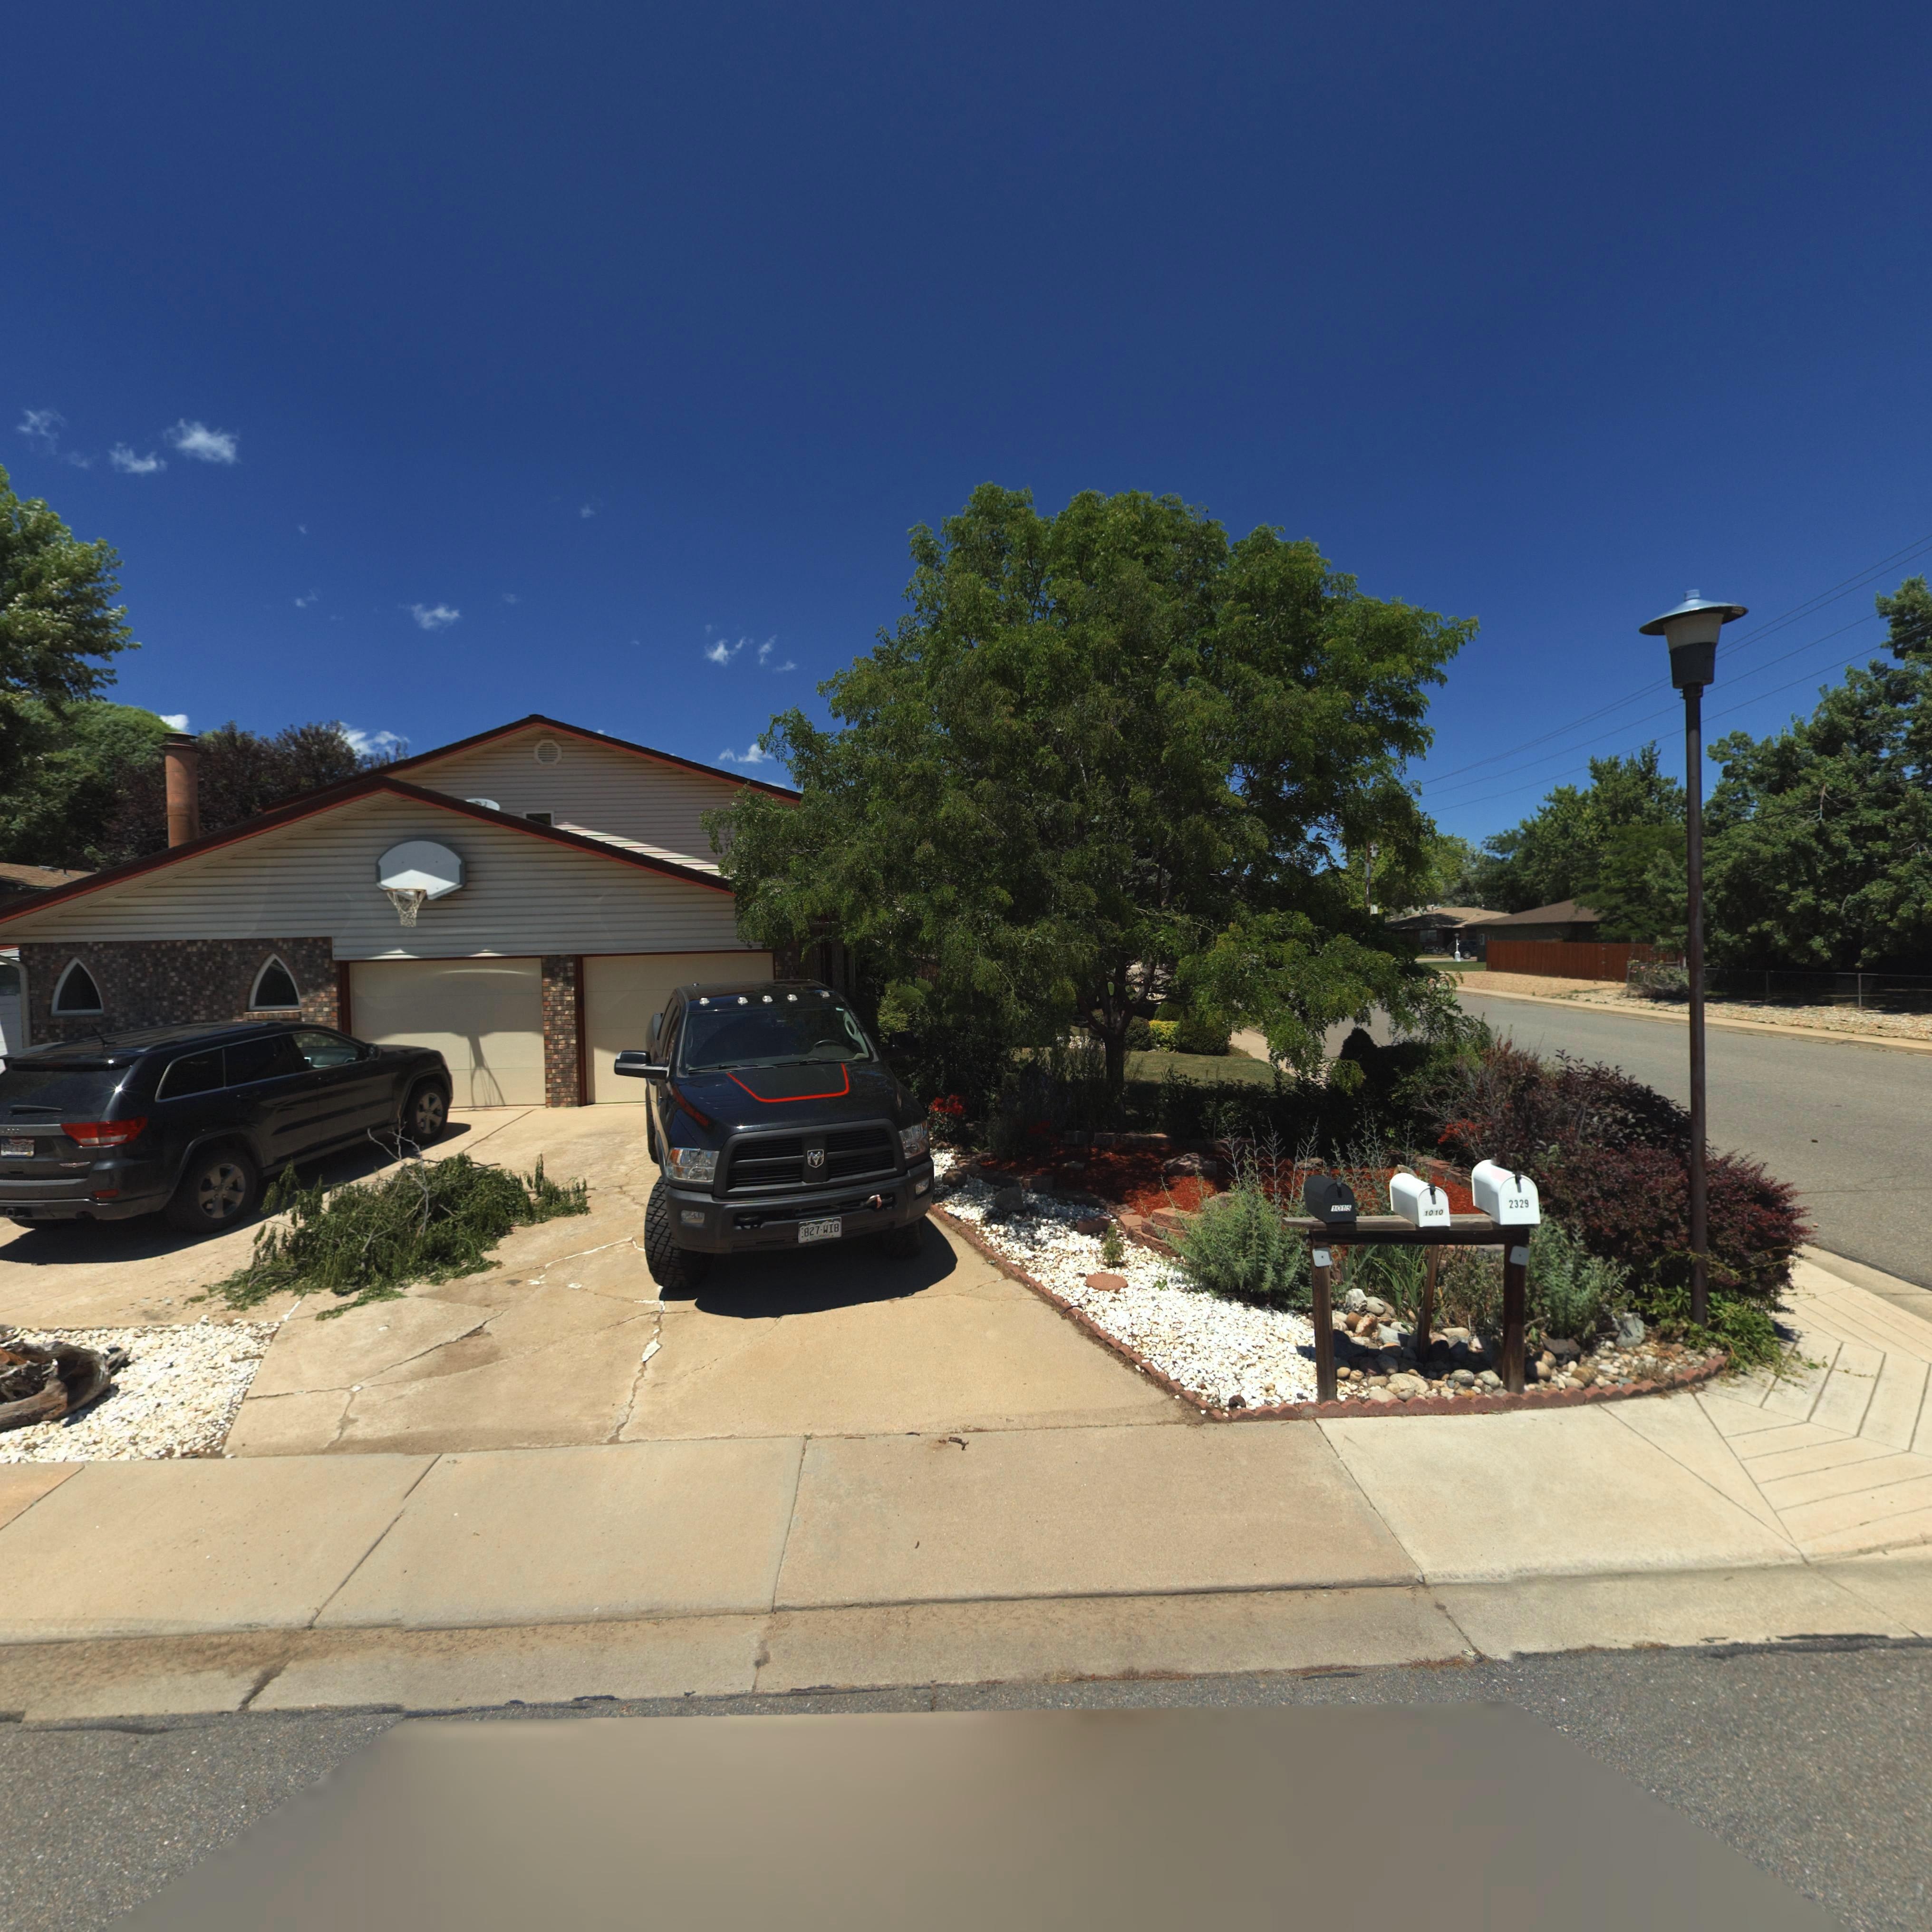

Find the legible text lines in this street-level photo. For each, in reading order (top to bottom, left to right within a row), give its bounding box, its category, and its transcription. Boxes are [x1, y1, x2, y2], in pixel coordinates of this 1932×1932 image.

[1508, 1199, 1529, 1208] StreetNumber: 2329
[1332, 1205, 1351, 1211] StreetNumber: 1015
[1425, 1209, 1443, 1216] StreetNumber: 1010